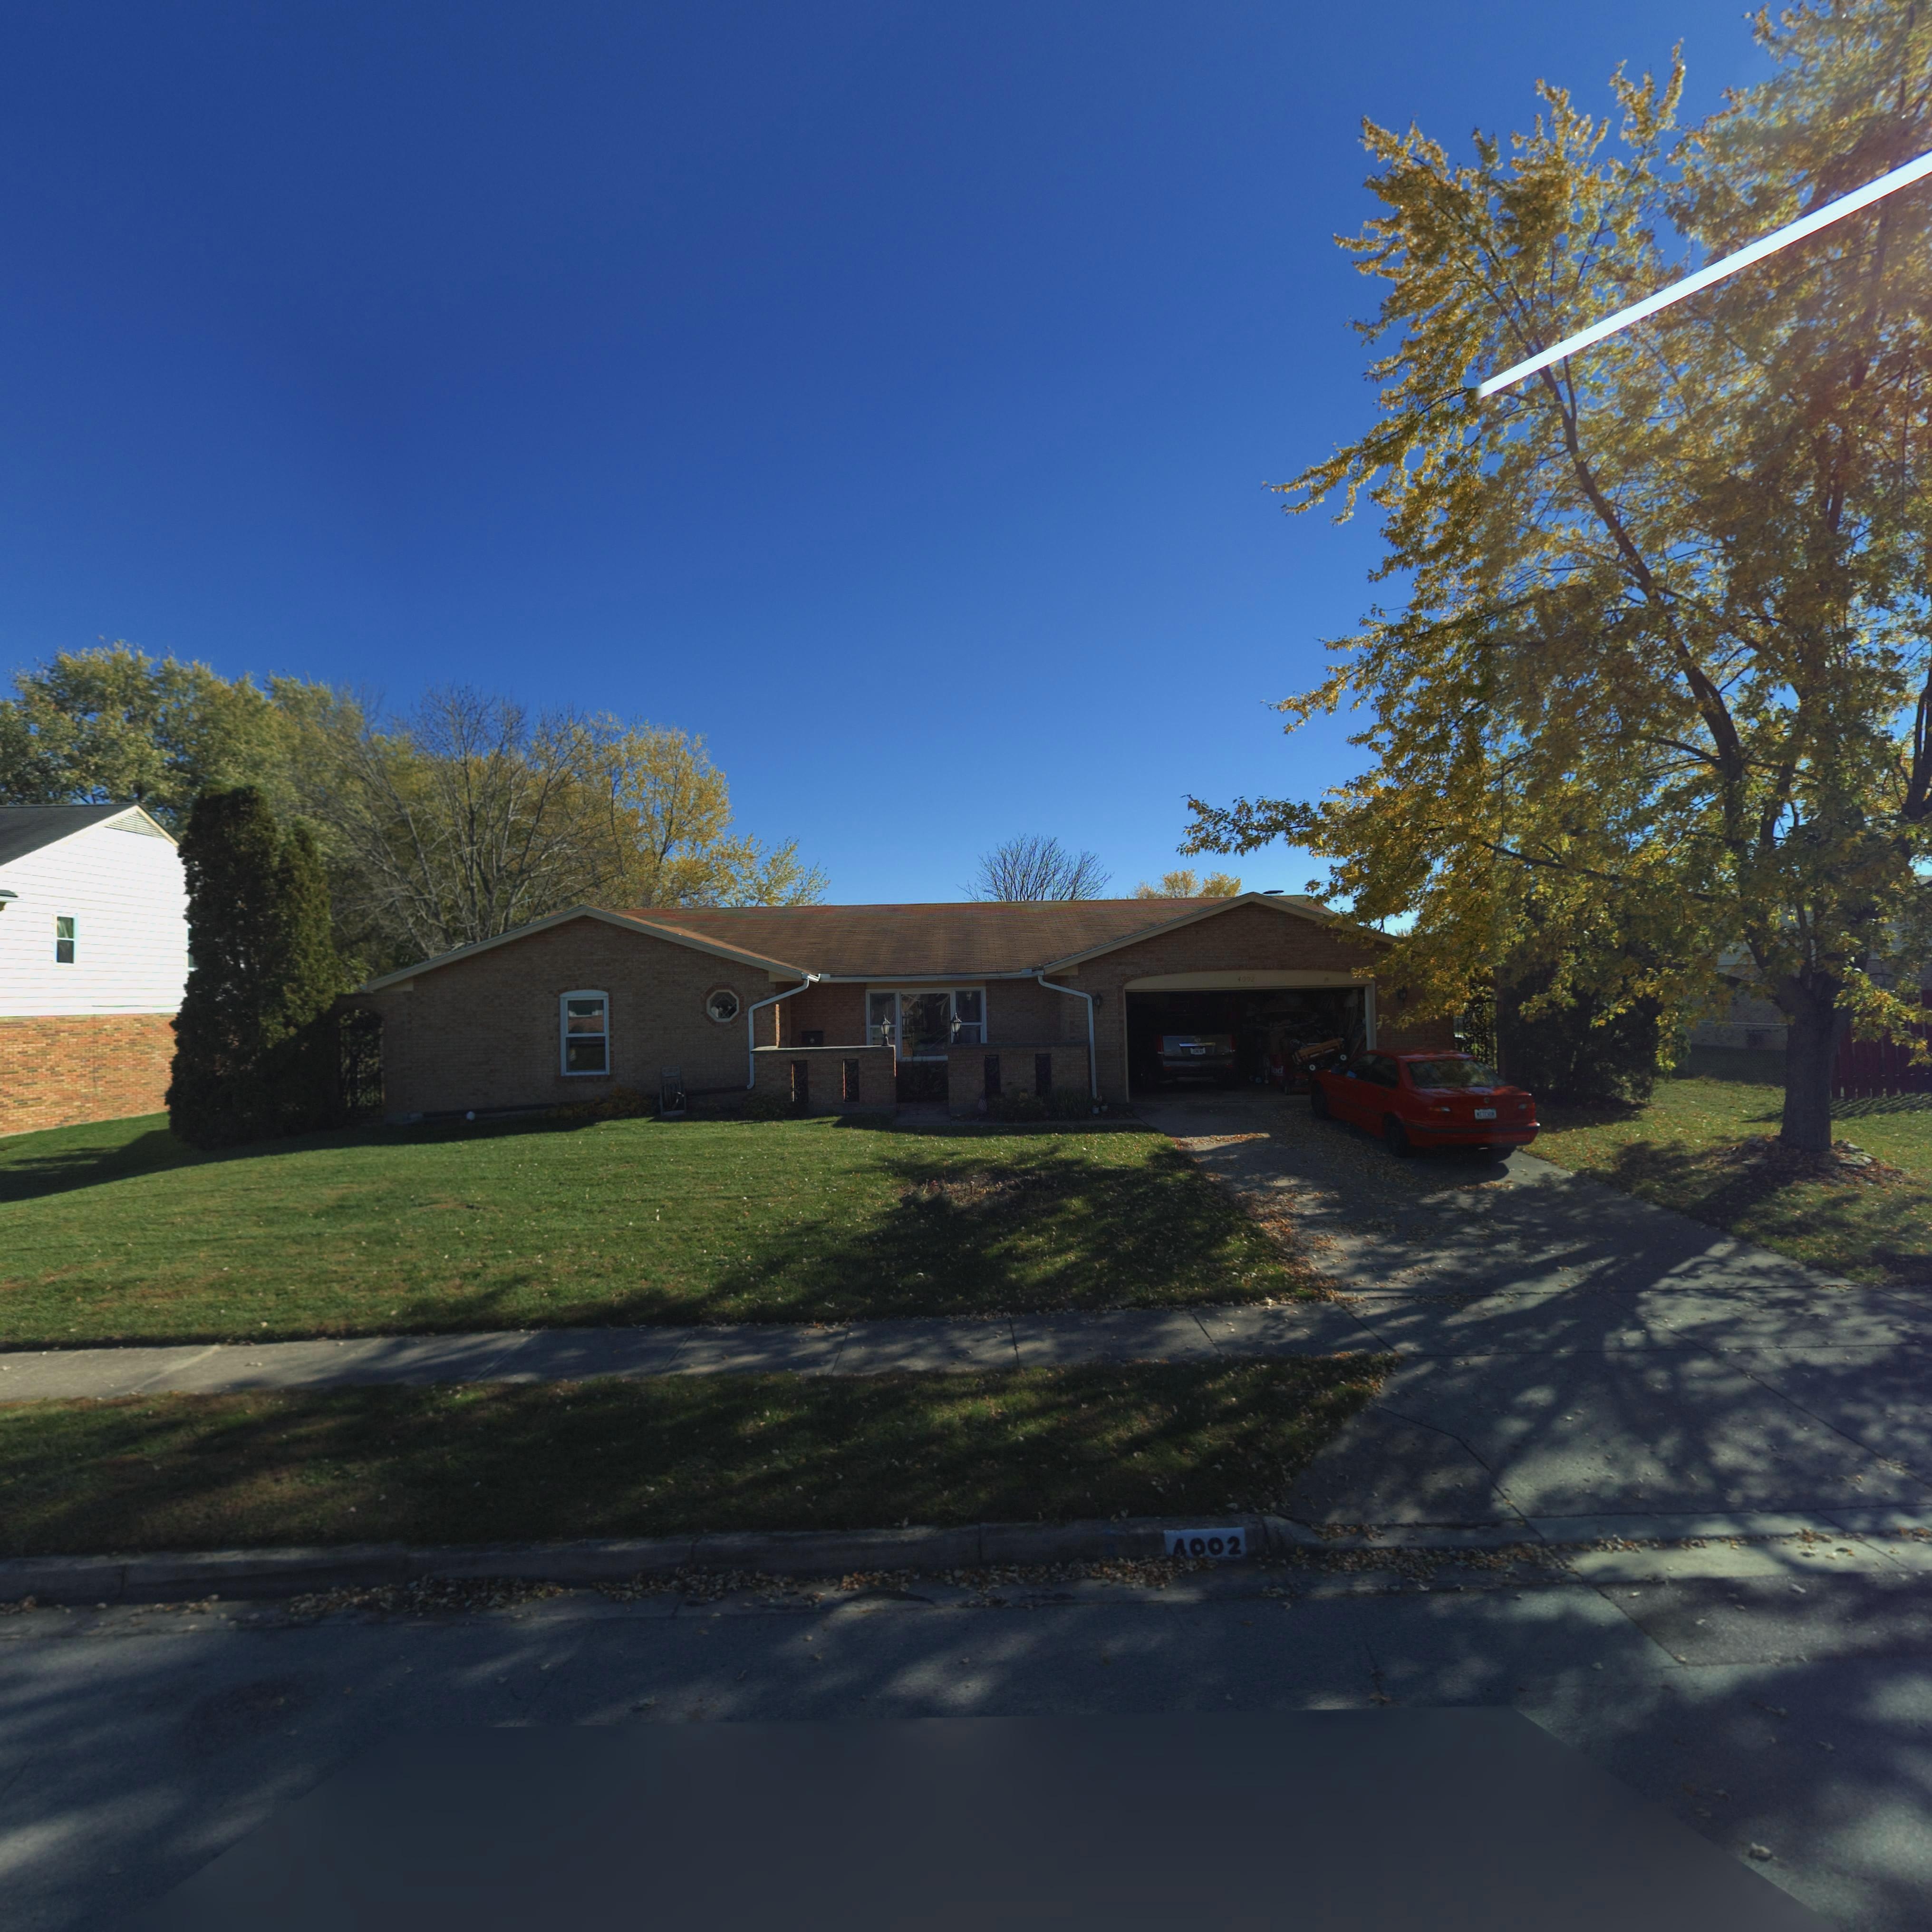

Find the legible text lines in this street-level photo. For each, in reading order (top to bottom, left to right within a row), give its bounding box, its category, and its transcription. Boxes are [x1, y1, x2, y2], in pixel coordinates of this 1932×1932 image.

[1237, 976, 1255, 983] StreetNumber: 4002
[1171, 1535, 1242, 1557] StreetNumber: 4002